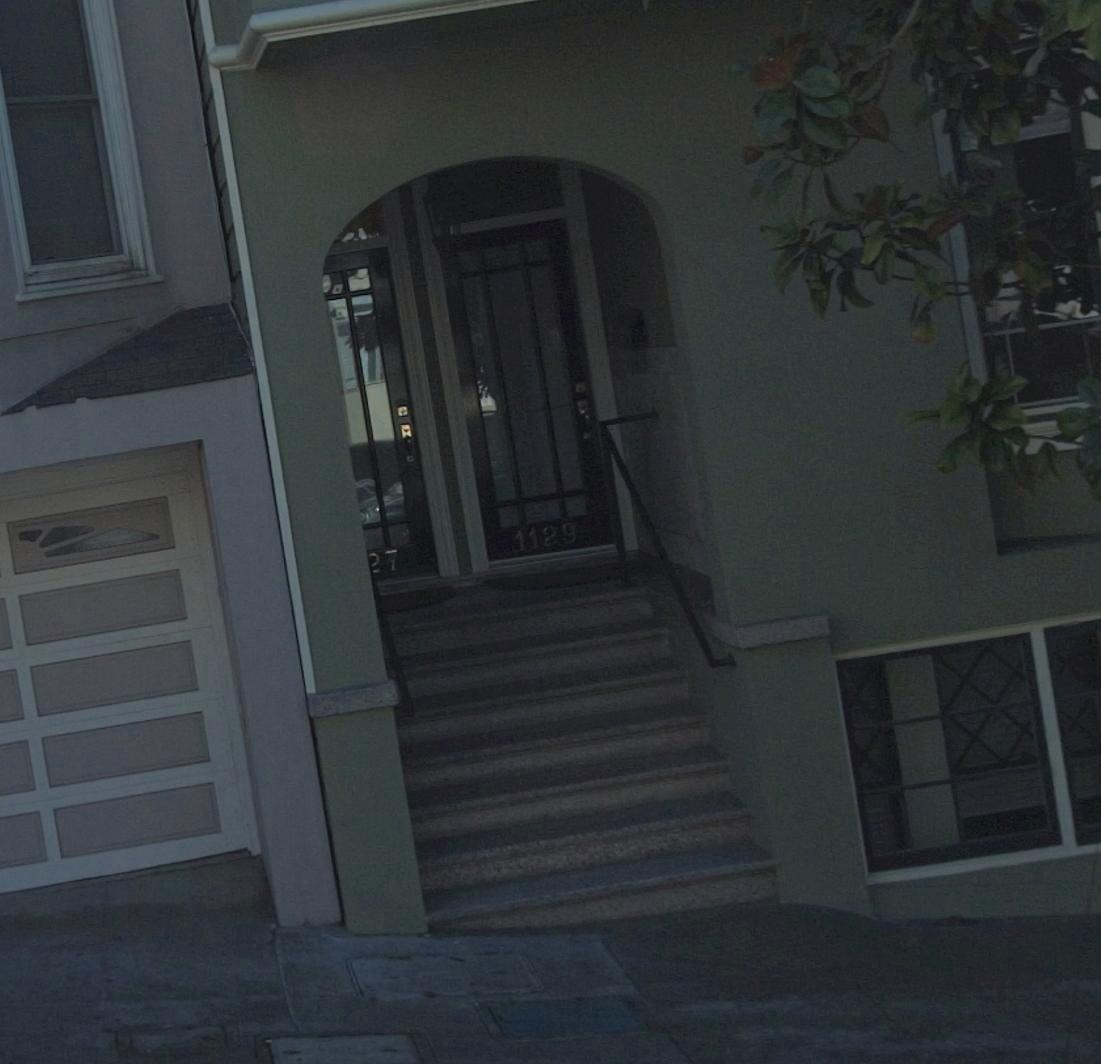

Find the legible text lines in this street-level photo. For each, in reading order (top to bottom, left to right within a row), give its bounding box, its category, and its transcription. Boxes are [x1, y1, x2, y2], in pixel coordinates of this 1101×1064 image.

[513, 520, 579, 552] StreetNumber: 1129
[381, 546, 400, 573] StreetNumber: 7